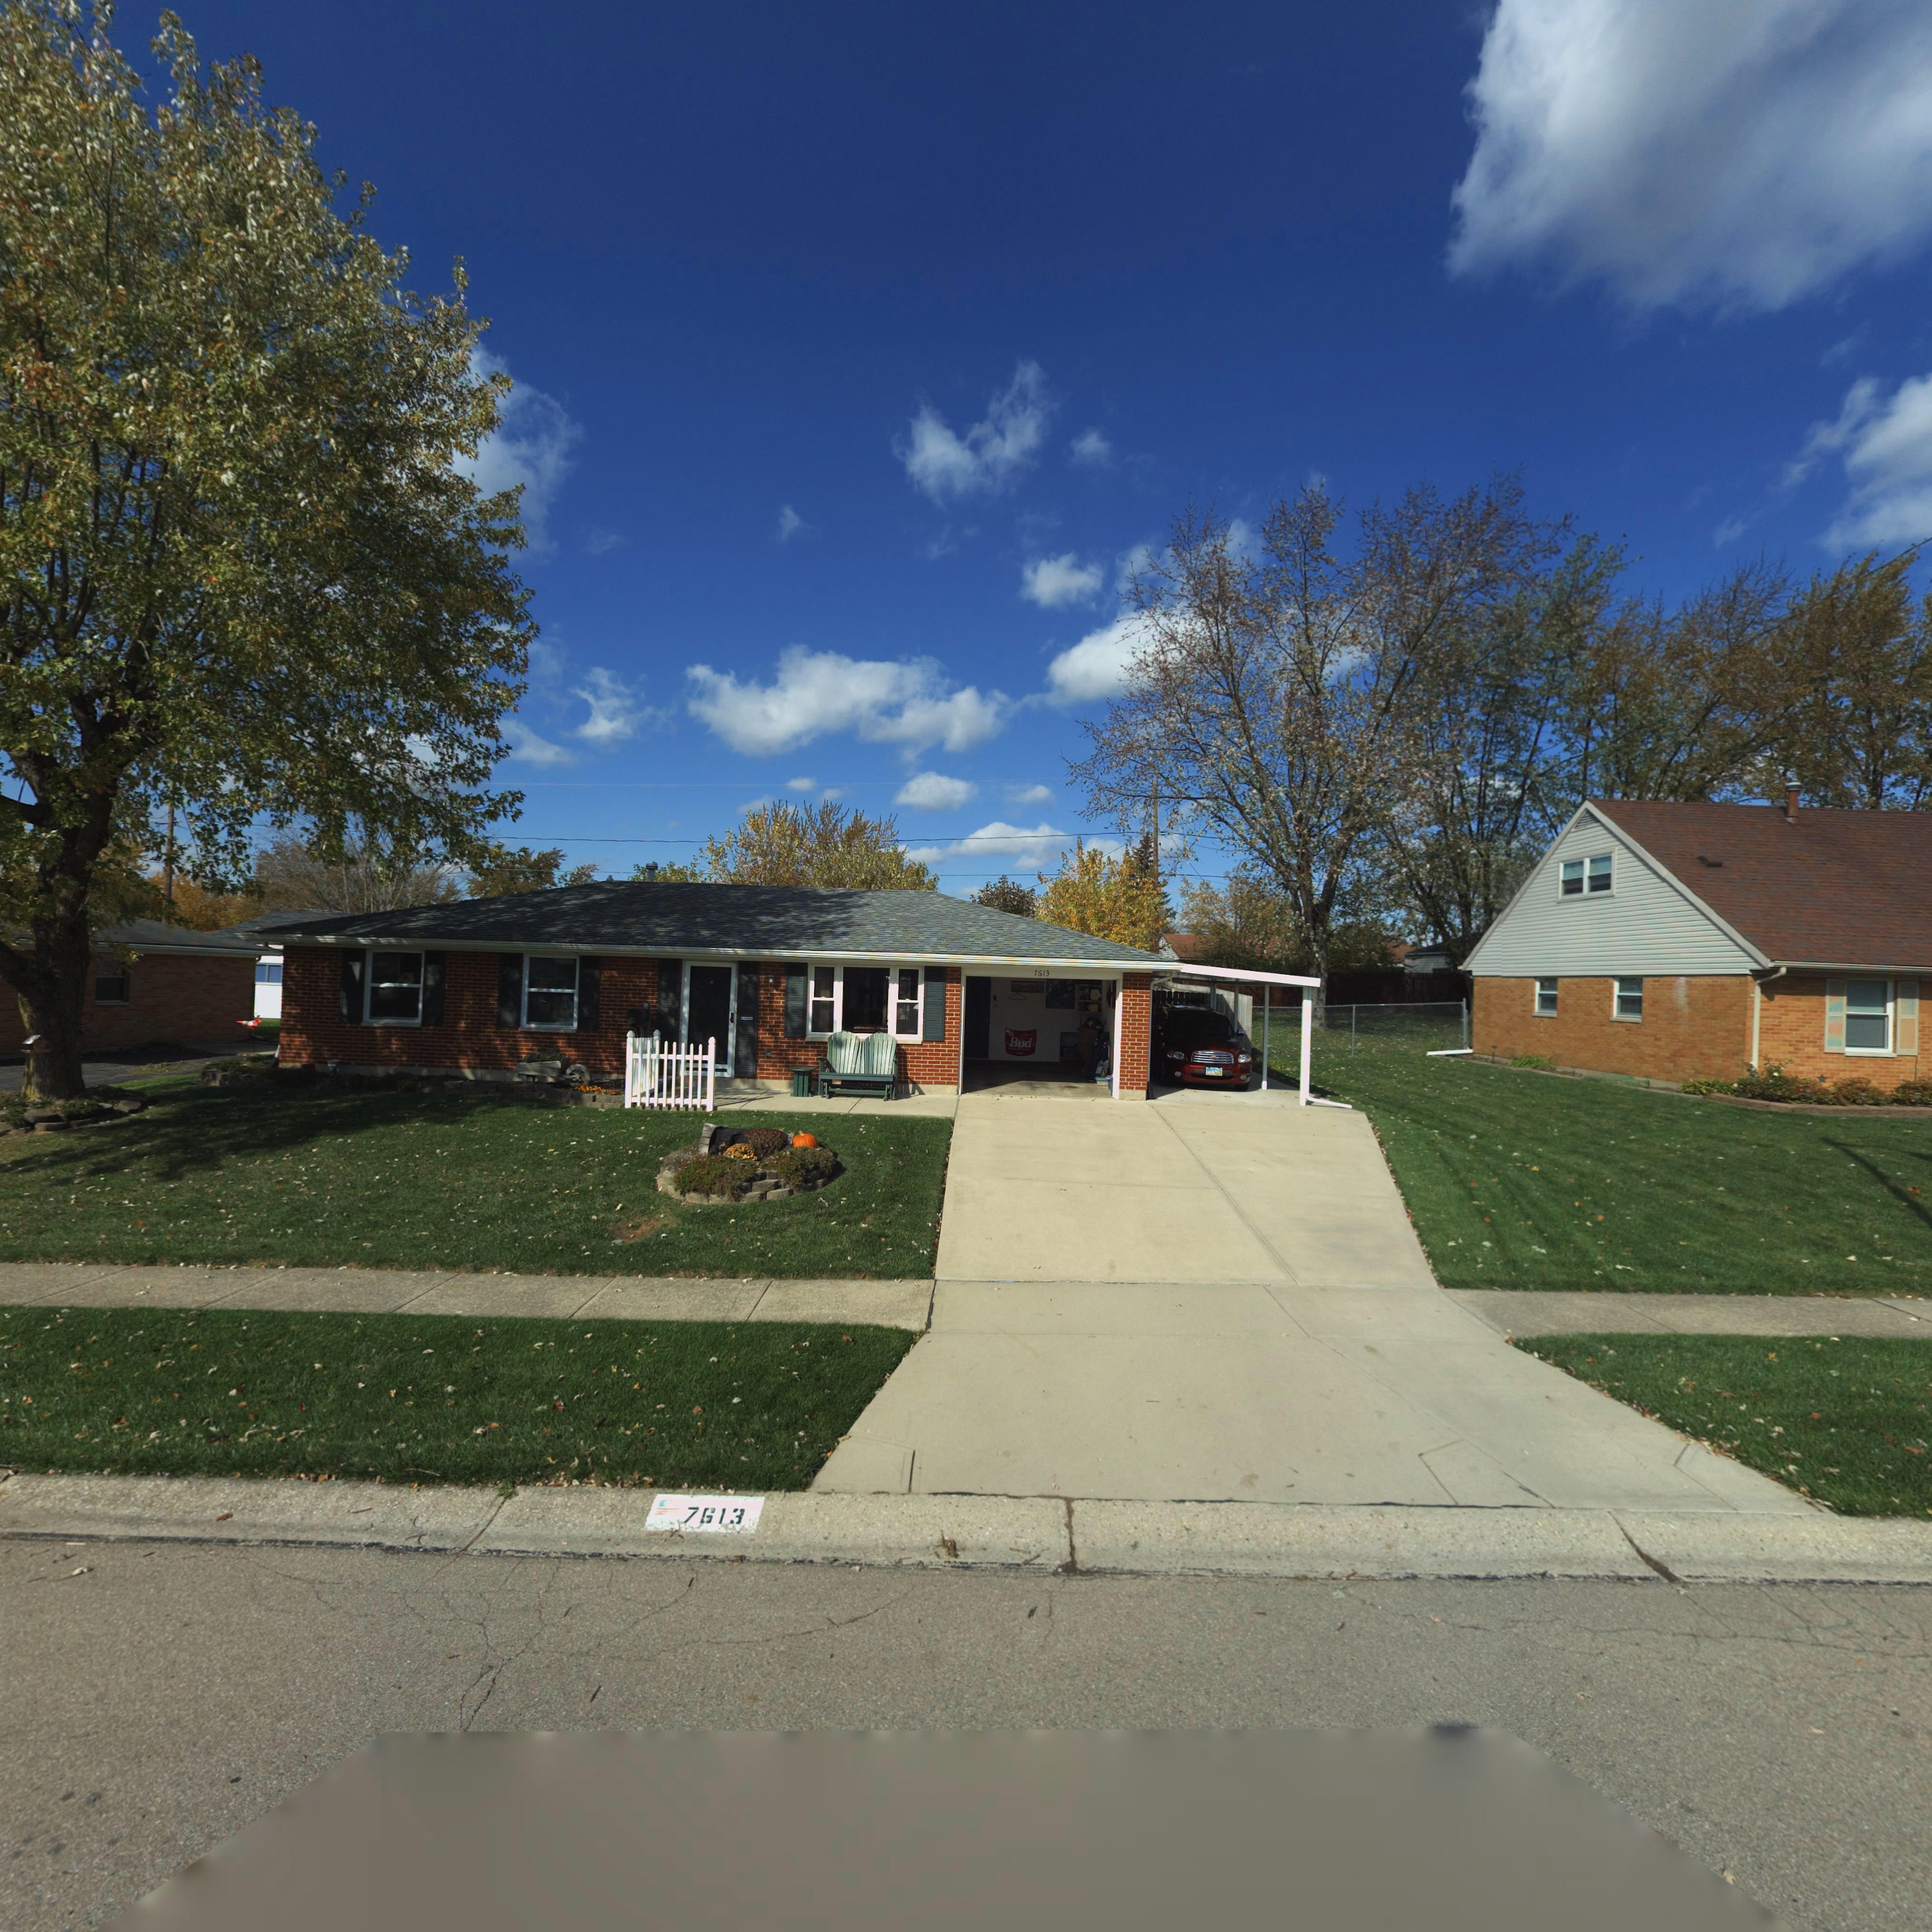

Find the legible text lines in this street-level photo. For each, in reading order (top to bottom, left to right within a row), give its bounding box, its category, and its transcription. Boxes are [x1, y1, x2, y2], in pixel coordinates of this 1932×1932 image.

[1034, 969, 1050, 976] StreetNumber: 7613
[682, 1506, 746, 1525] StreetNumber: 7613